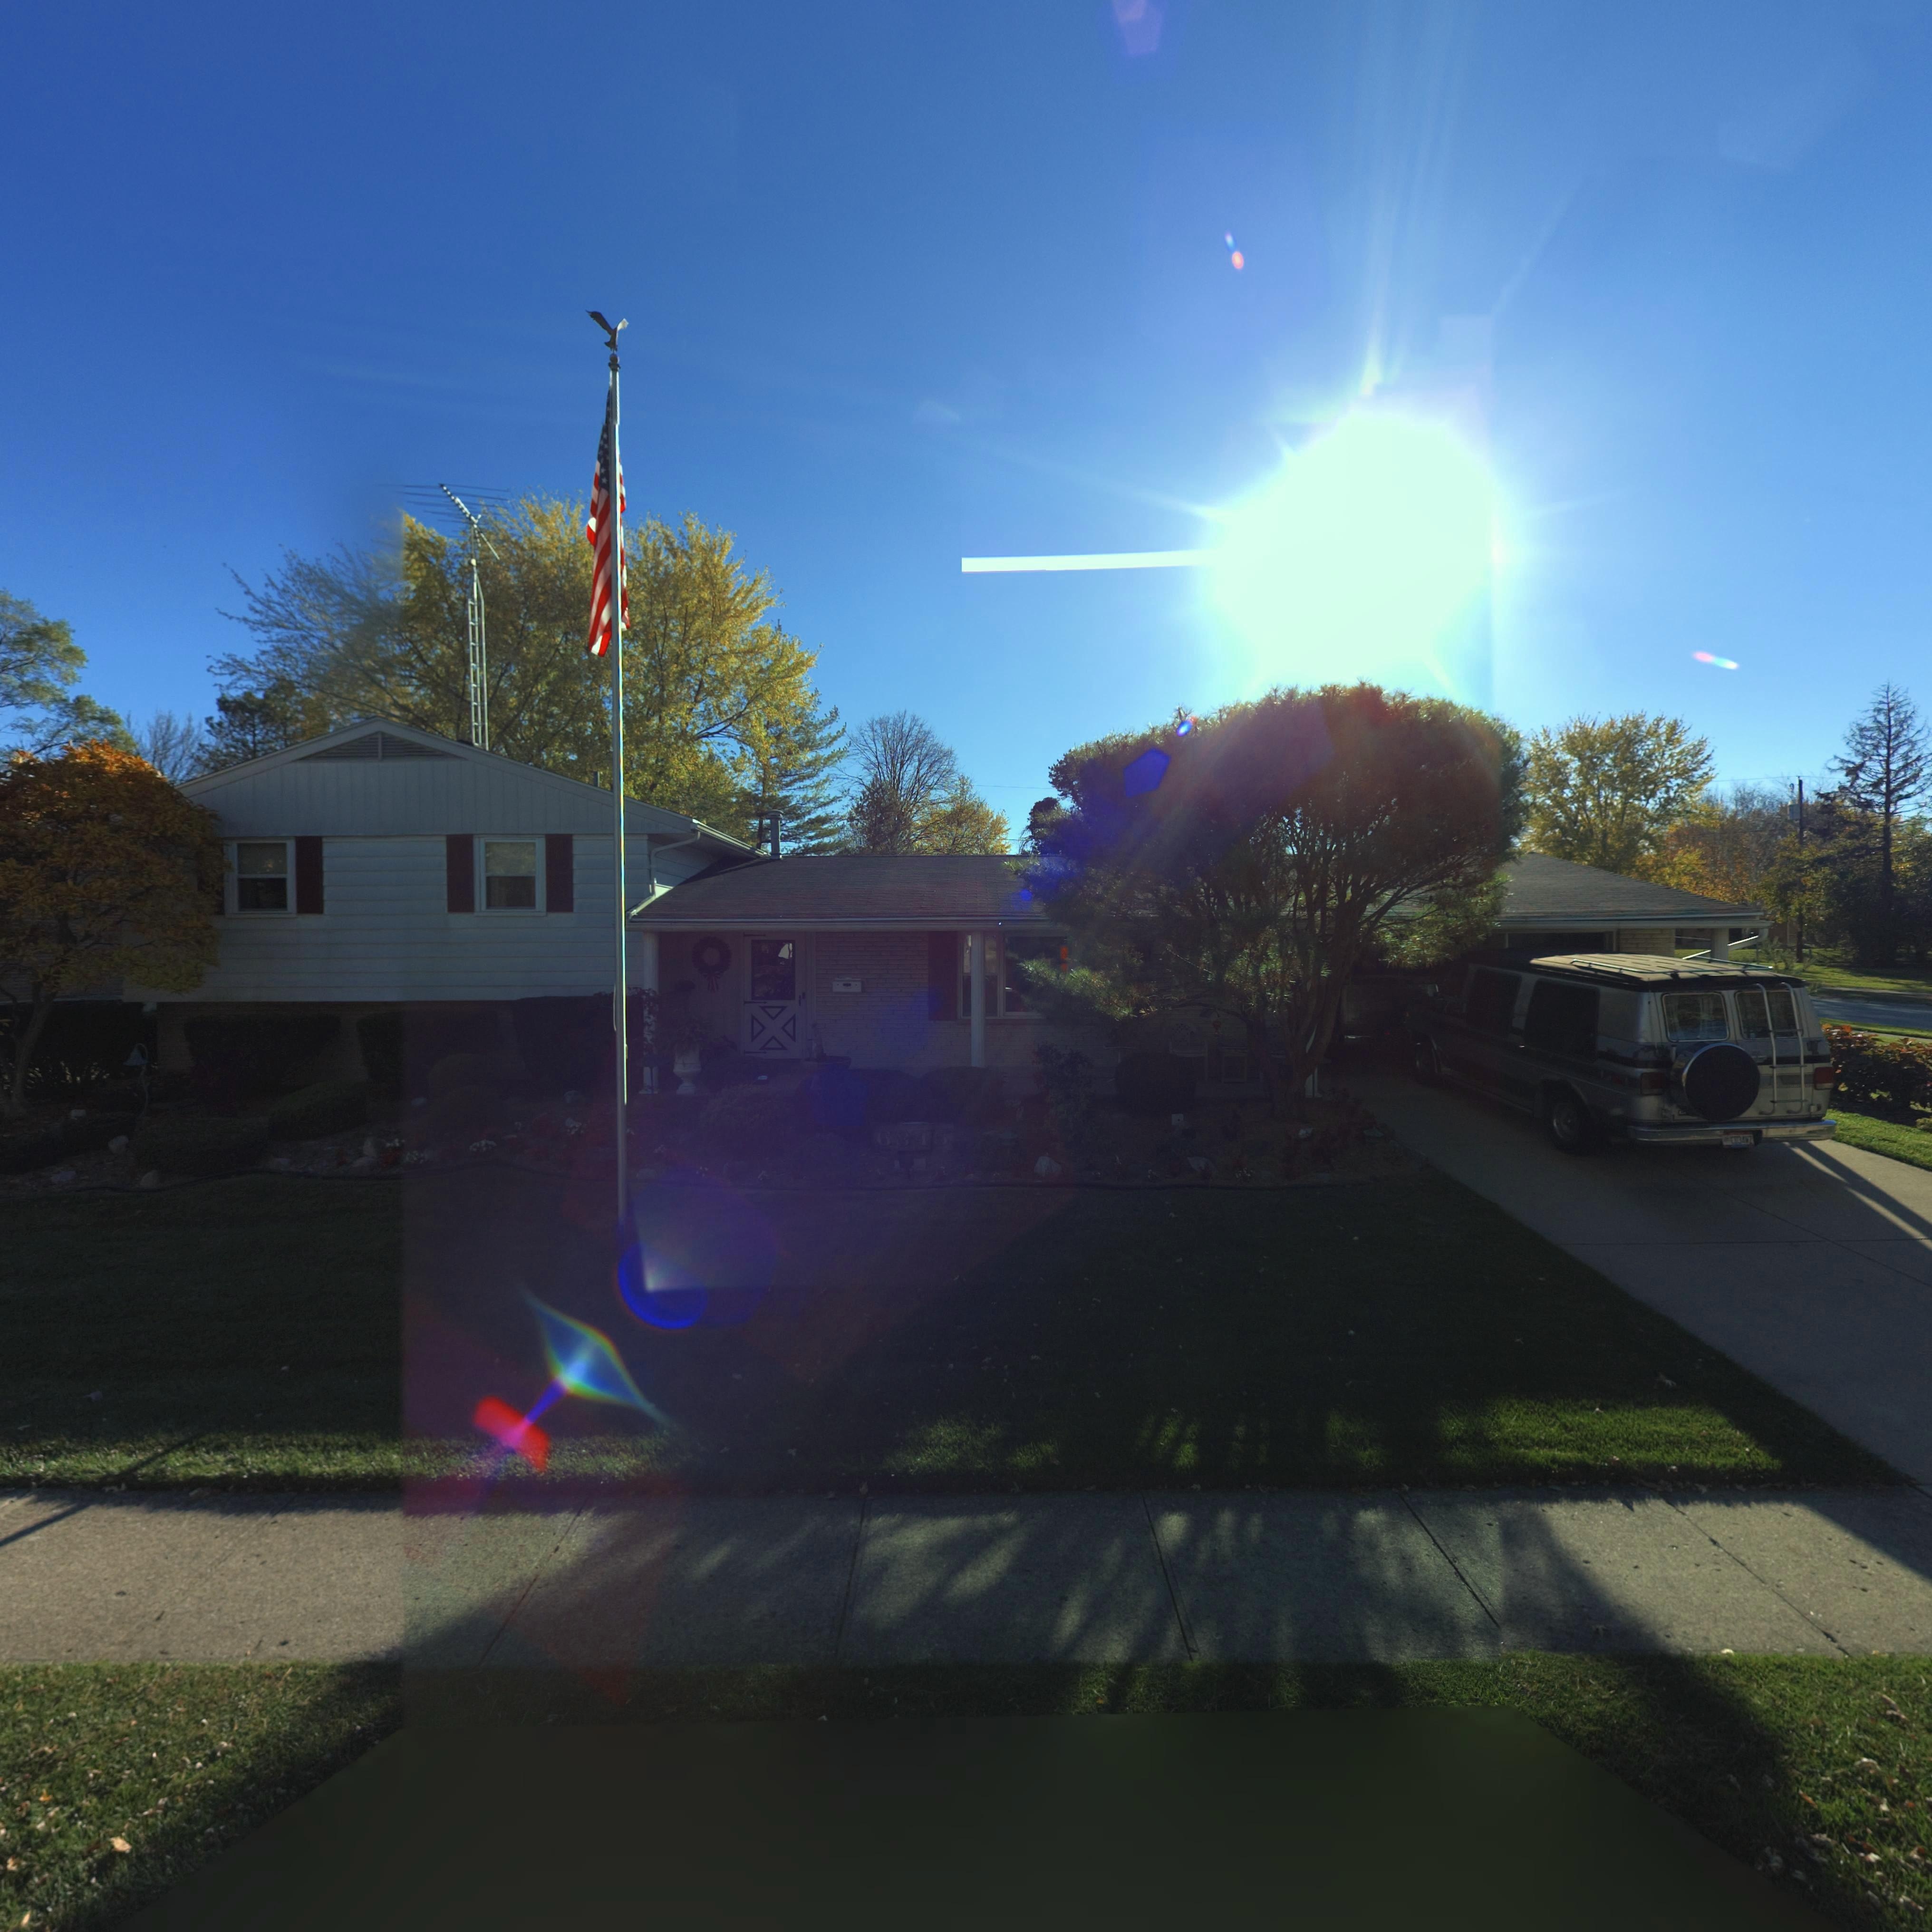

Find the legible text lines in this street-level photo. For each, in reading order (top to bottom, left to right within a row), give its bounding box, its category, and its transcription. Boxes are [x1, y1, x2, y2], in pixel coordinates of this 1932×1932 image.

[875, 1129, 949, 1147] StreetNumber: 6845